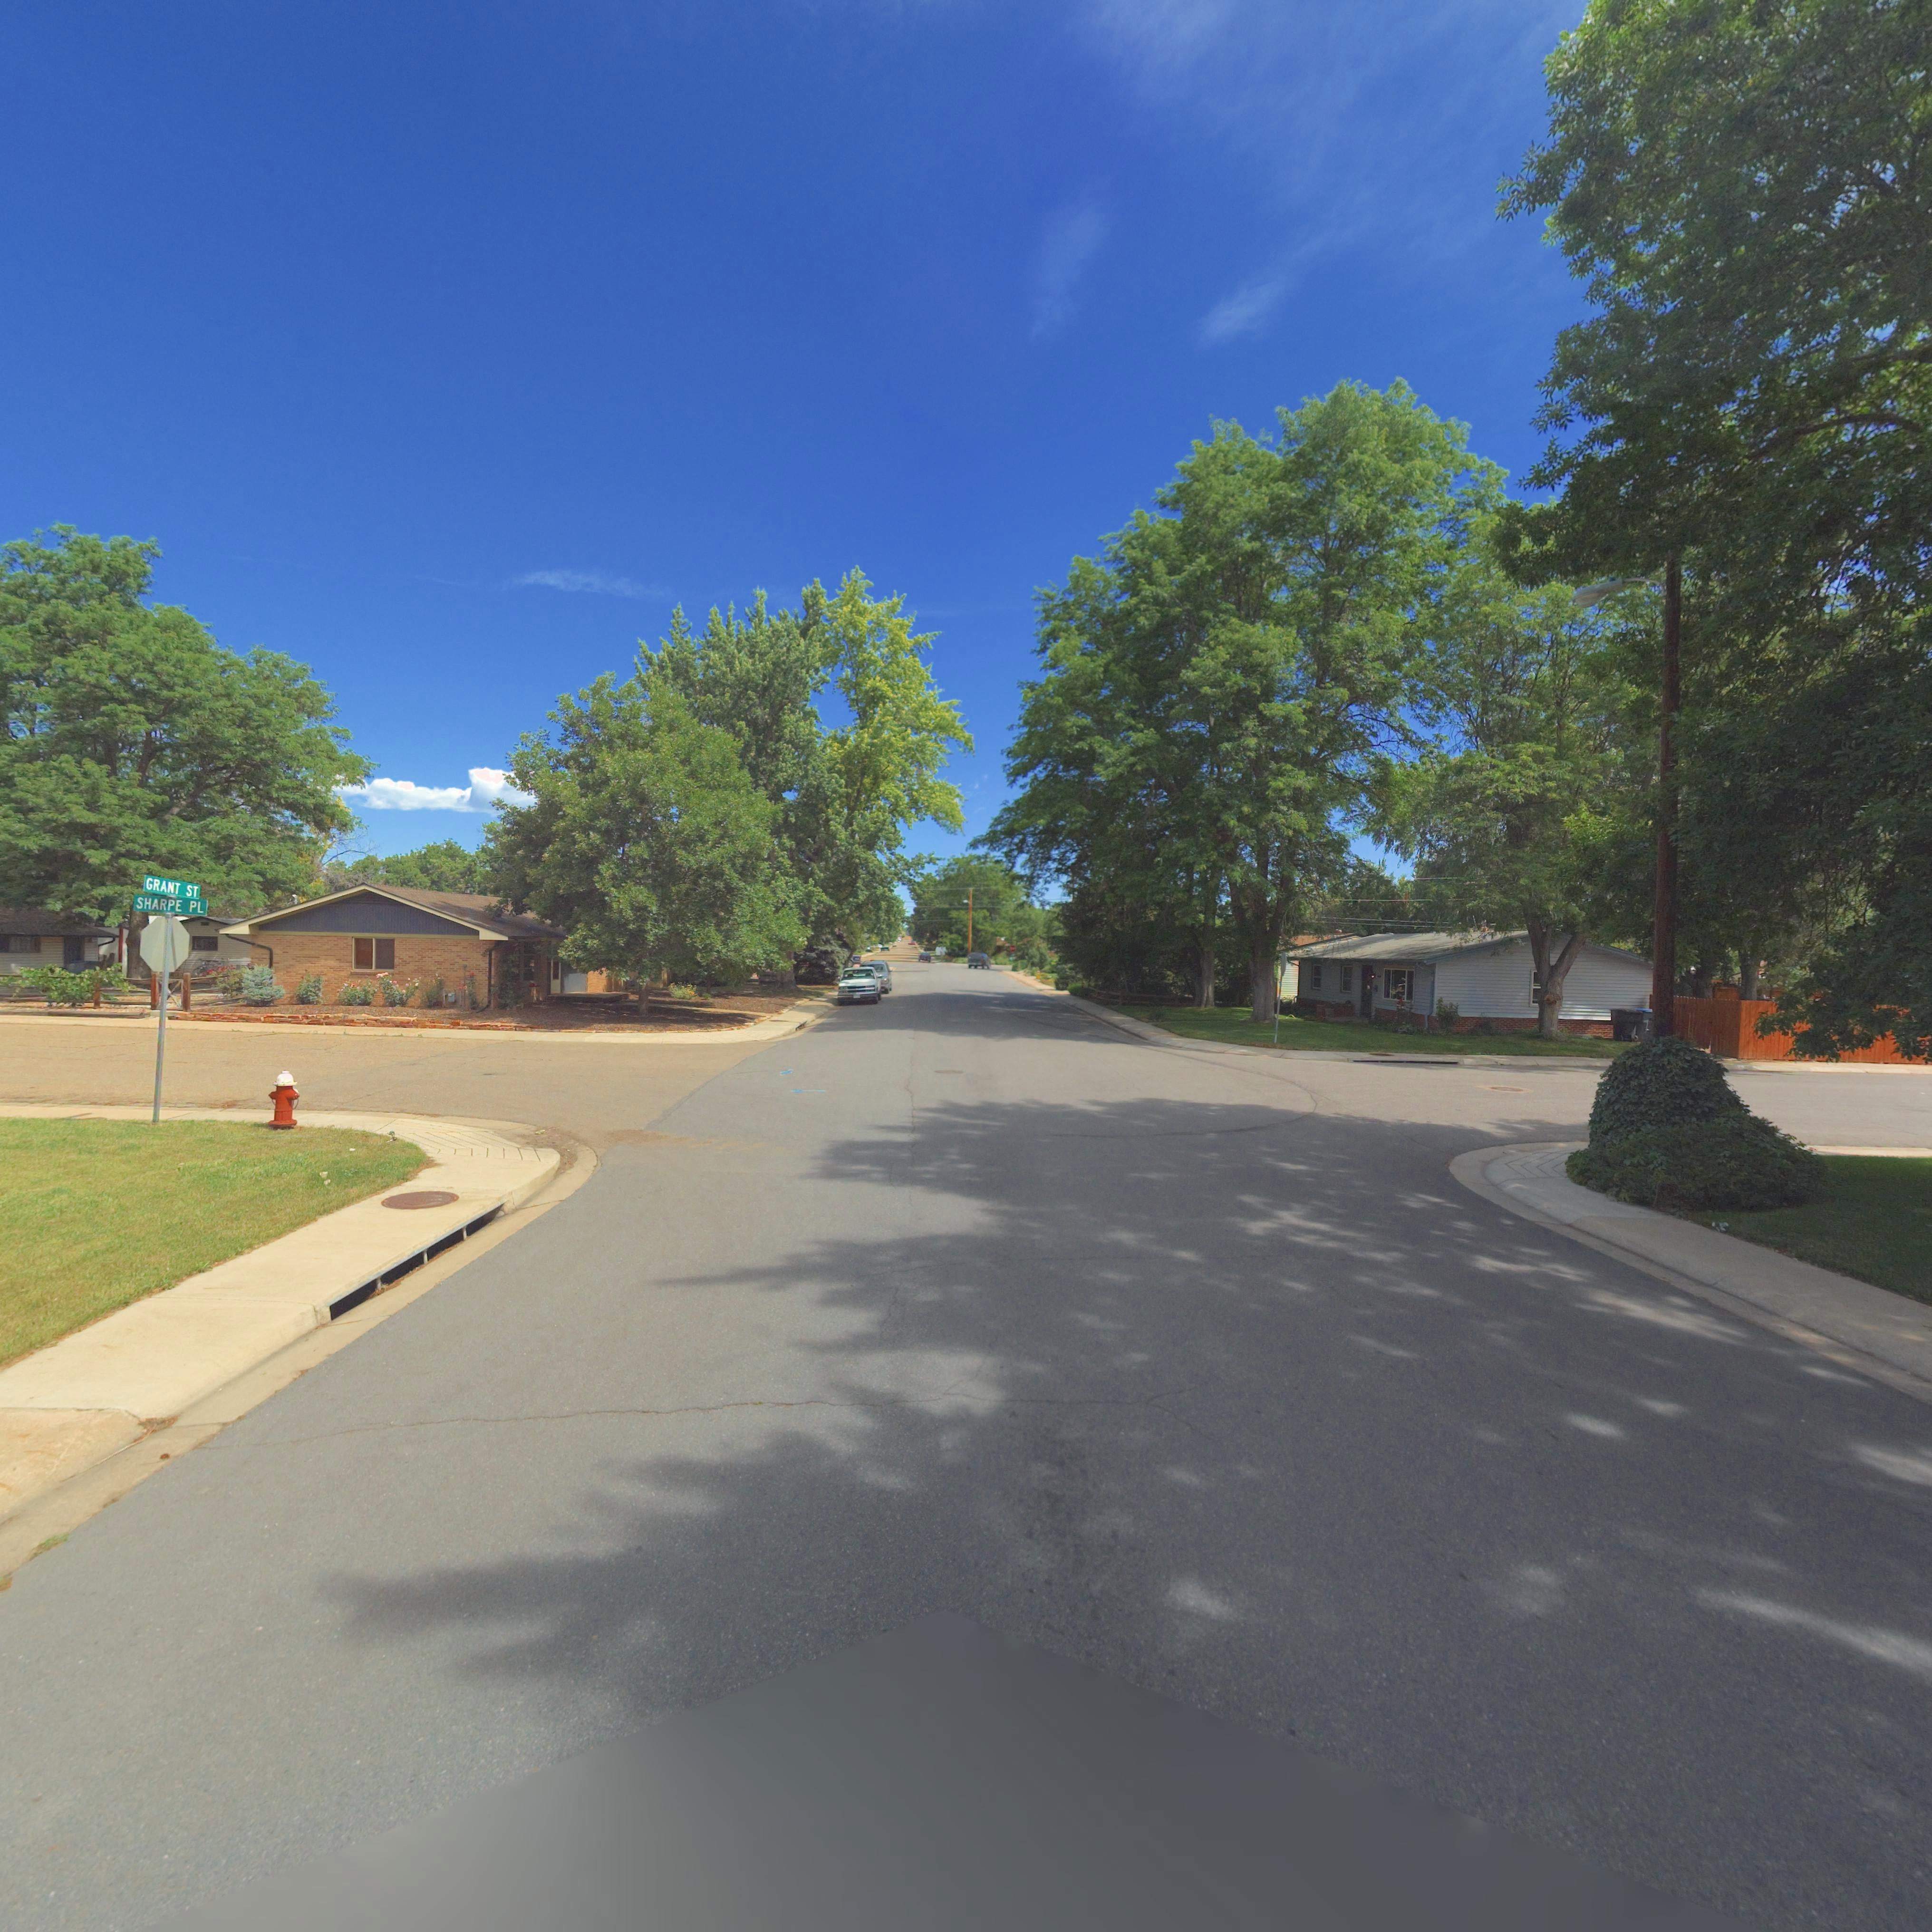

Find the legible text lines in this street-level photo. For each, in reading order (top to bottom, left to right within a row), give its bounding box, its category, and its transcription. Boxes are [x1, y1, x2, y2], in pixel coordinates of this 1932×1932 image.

[145, 877, 199, 898] StreetName: GRANT ST
[135, 896, 204, 914] StreetName: SHAPRE PL